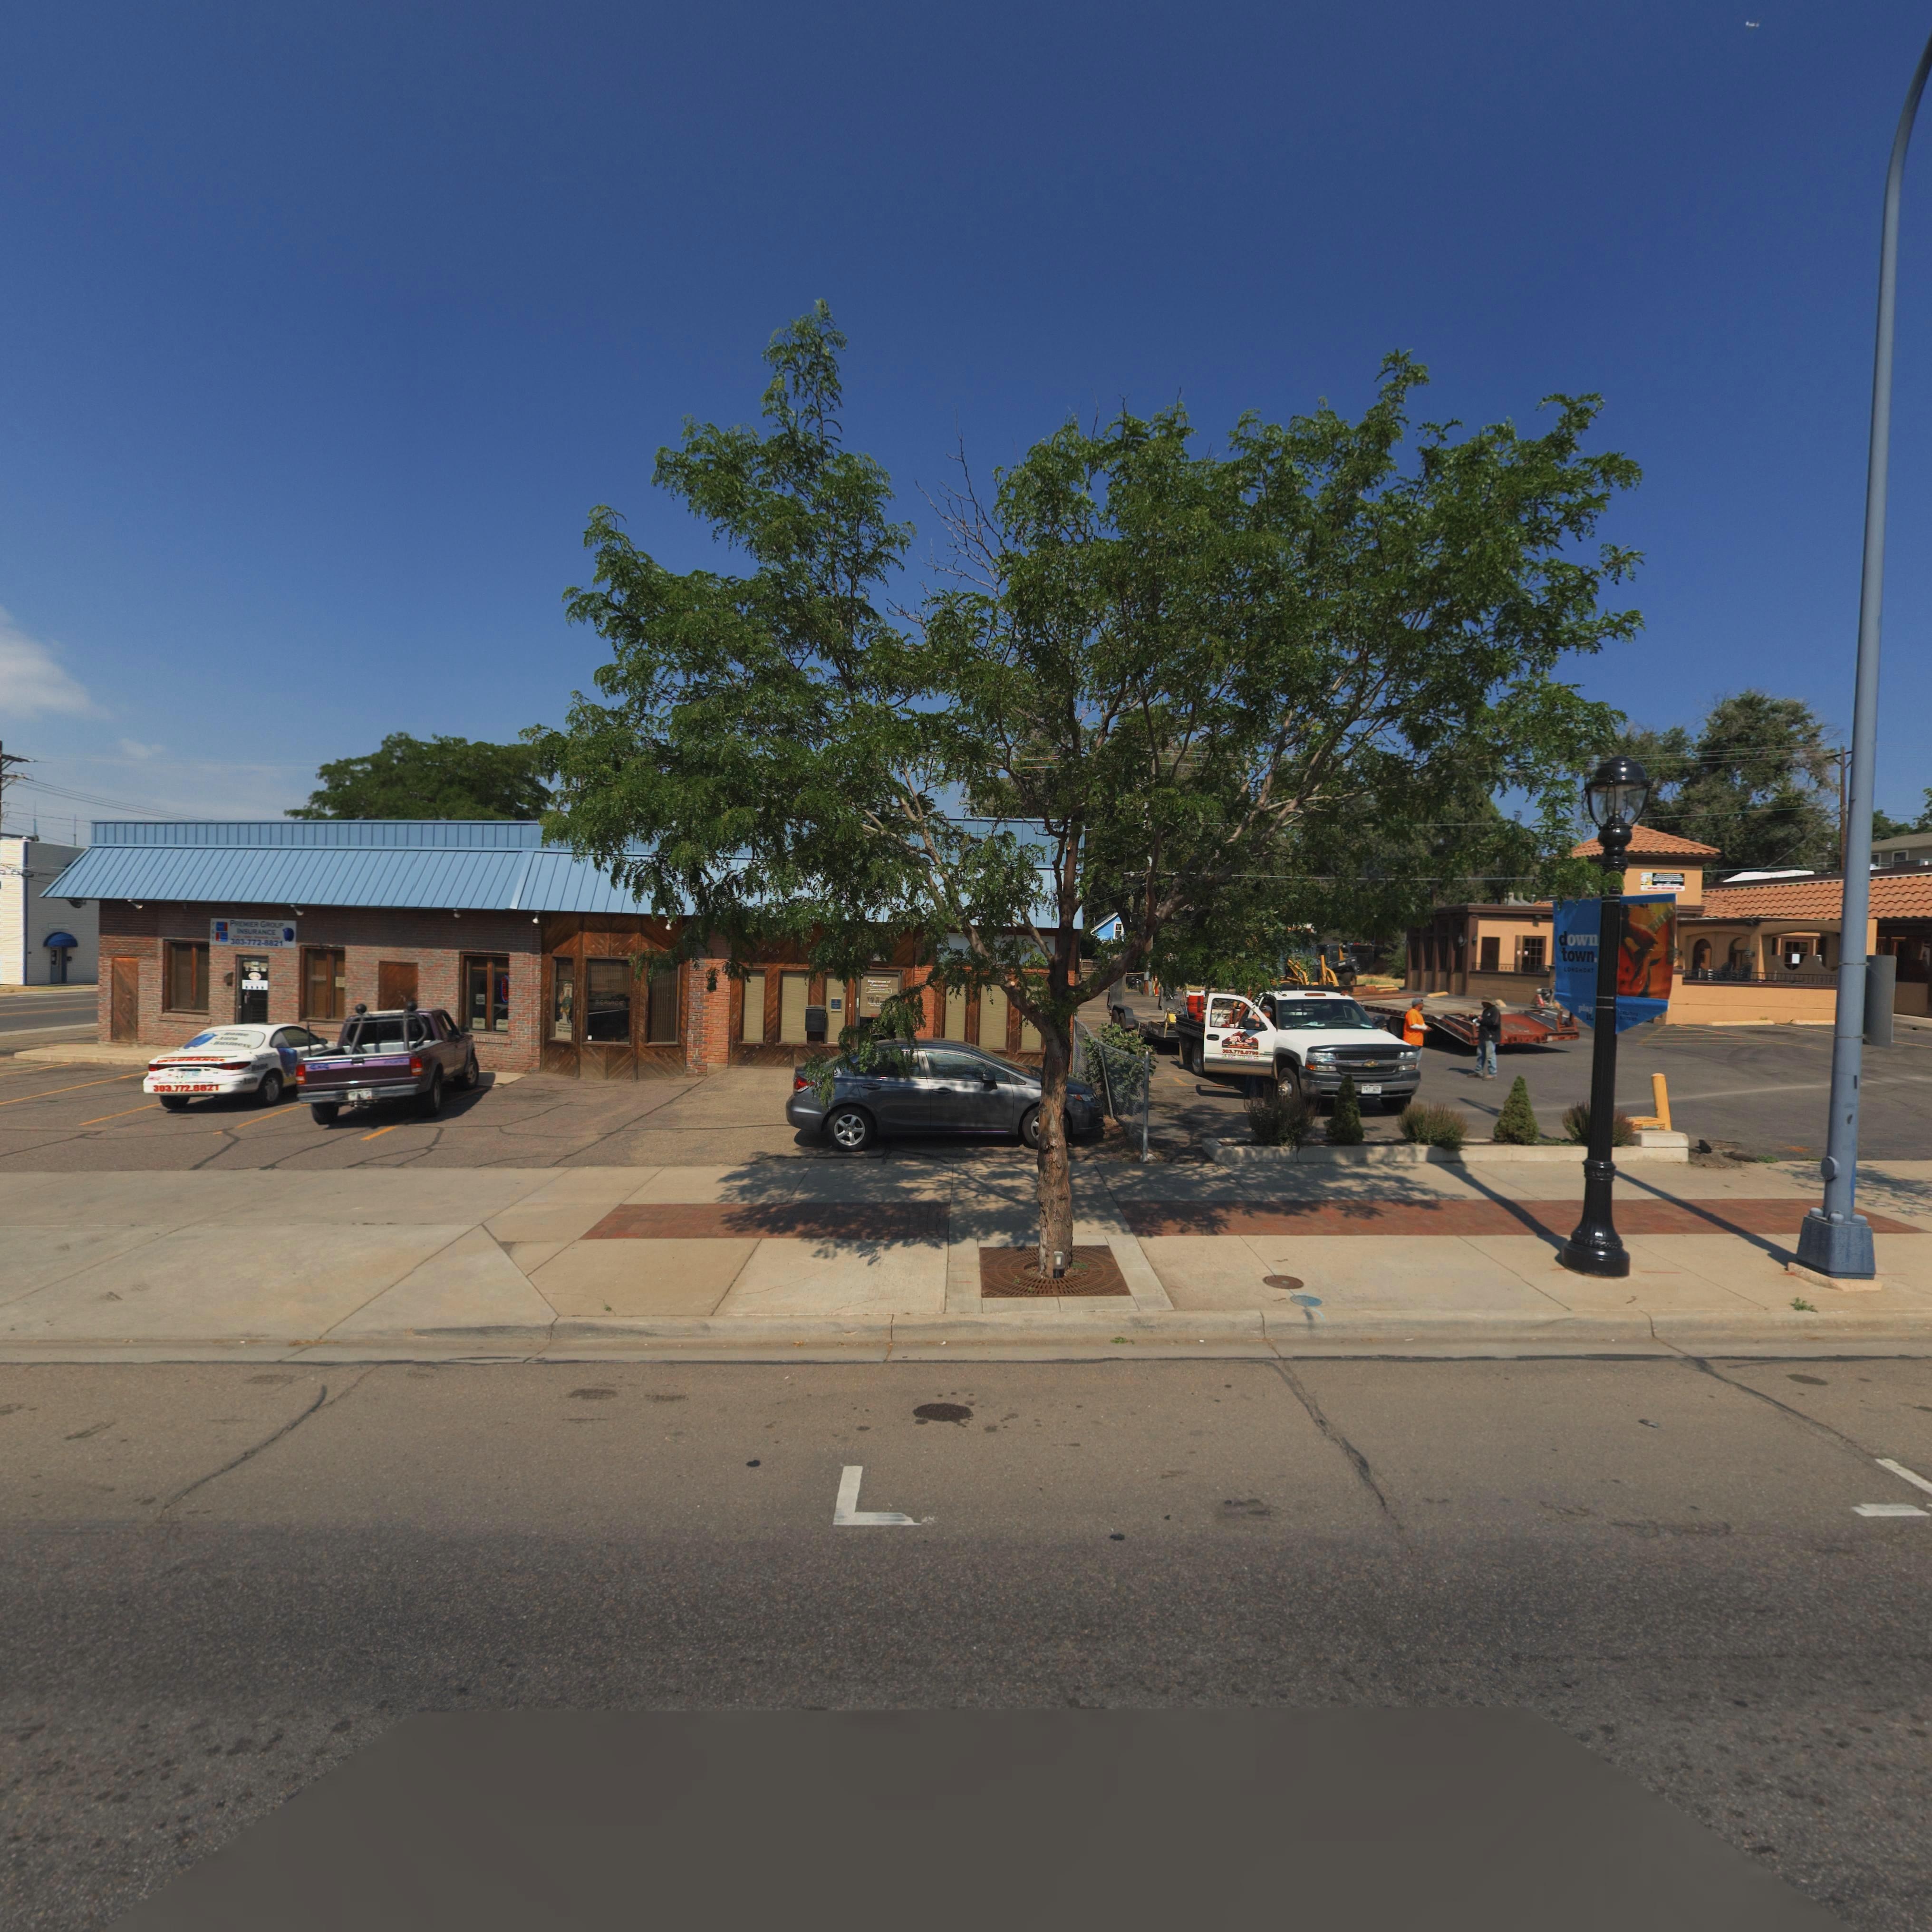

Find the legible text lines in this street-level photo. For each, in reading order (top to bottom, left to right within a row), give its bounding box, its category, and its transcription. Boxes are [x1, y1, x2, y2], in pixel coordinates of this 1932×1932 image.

[229, 919, 284, 928] BusinessName: PREM*ER G*OUP
[236, 927, 276, 935] BusinessName: INSURANCE